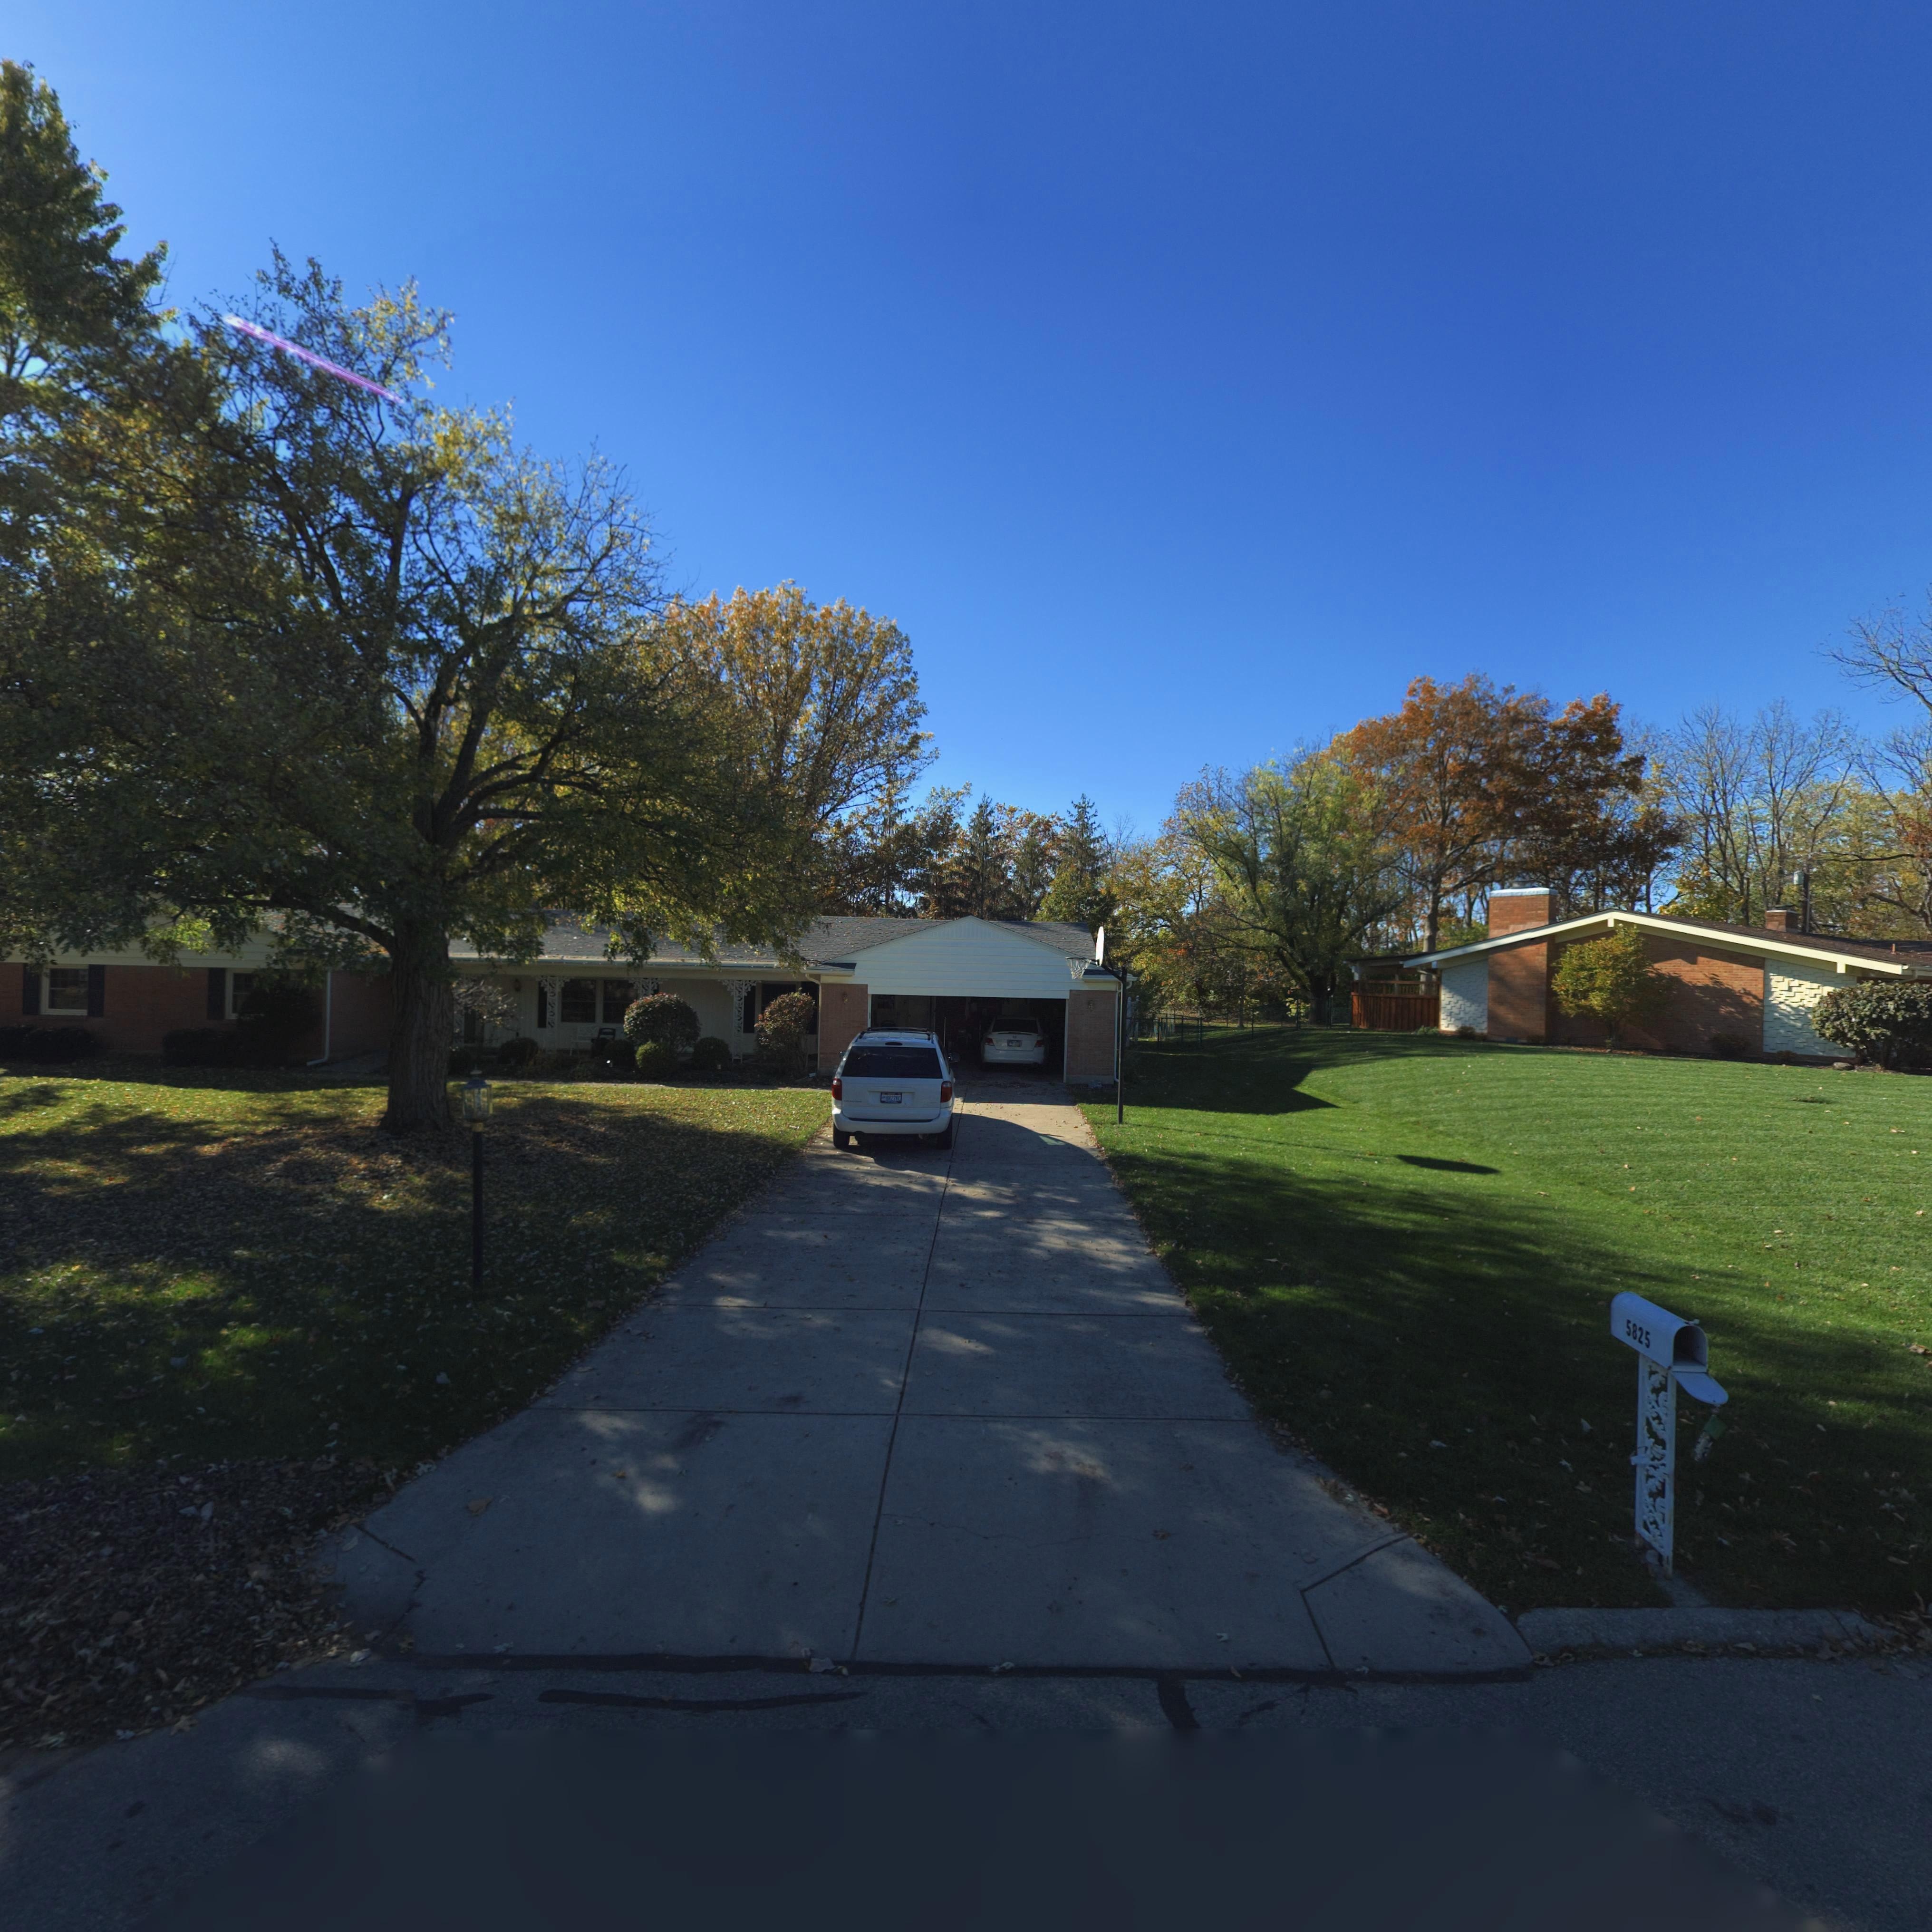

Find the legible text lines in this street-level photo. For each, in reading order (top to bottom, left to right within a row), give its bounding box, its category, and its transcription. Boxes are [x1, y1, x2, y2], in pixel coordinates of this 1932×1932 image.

[1625, 1317, 1651, 1351] StreetNumber: 5825